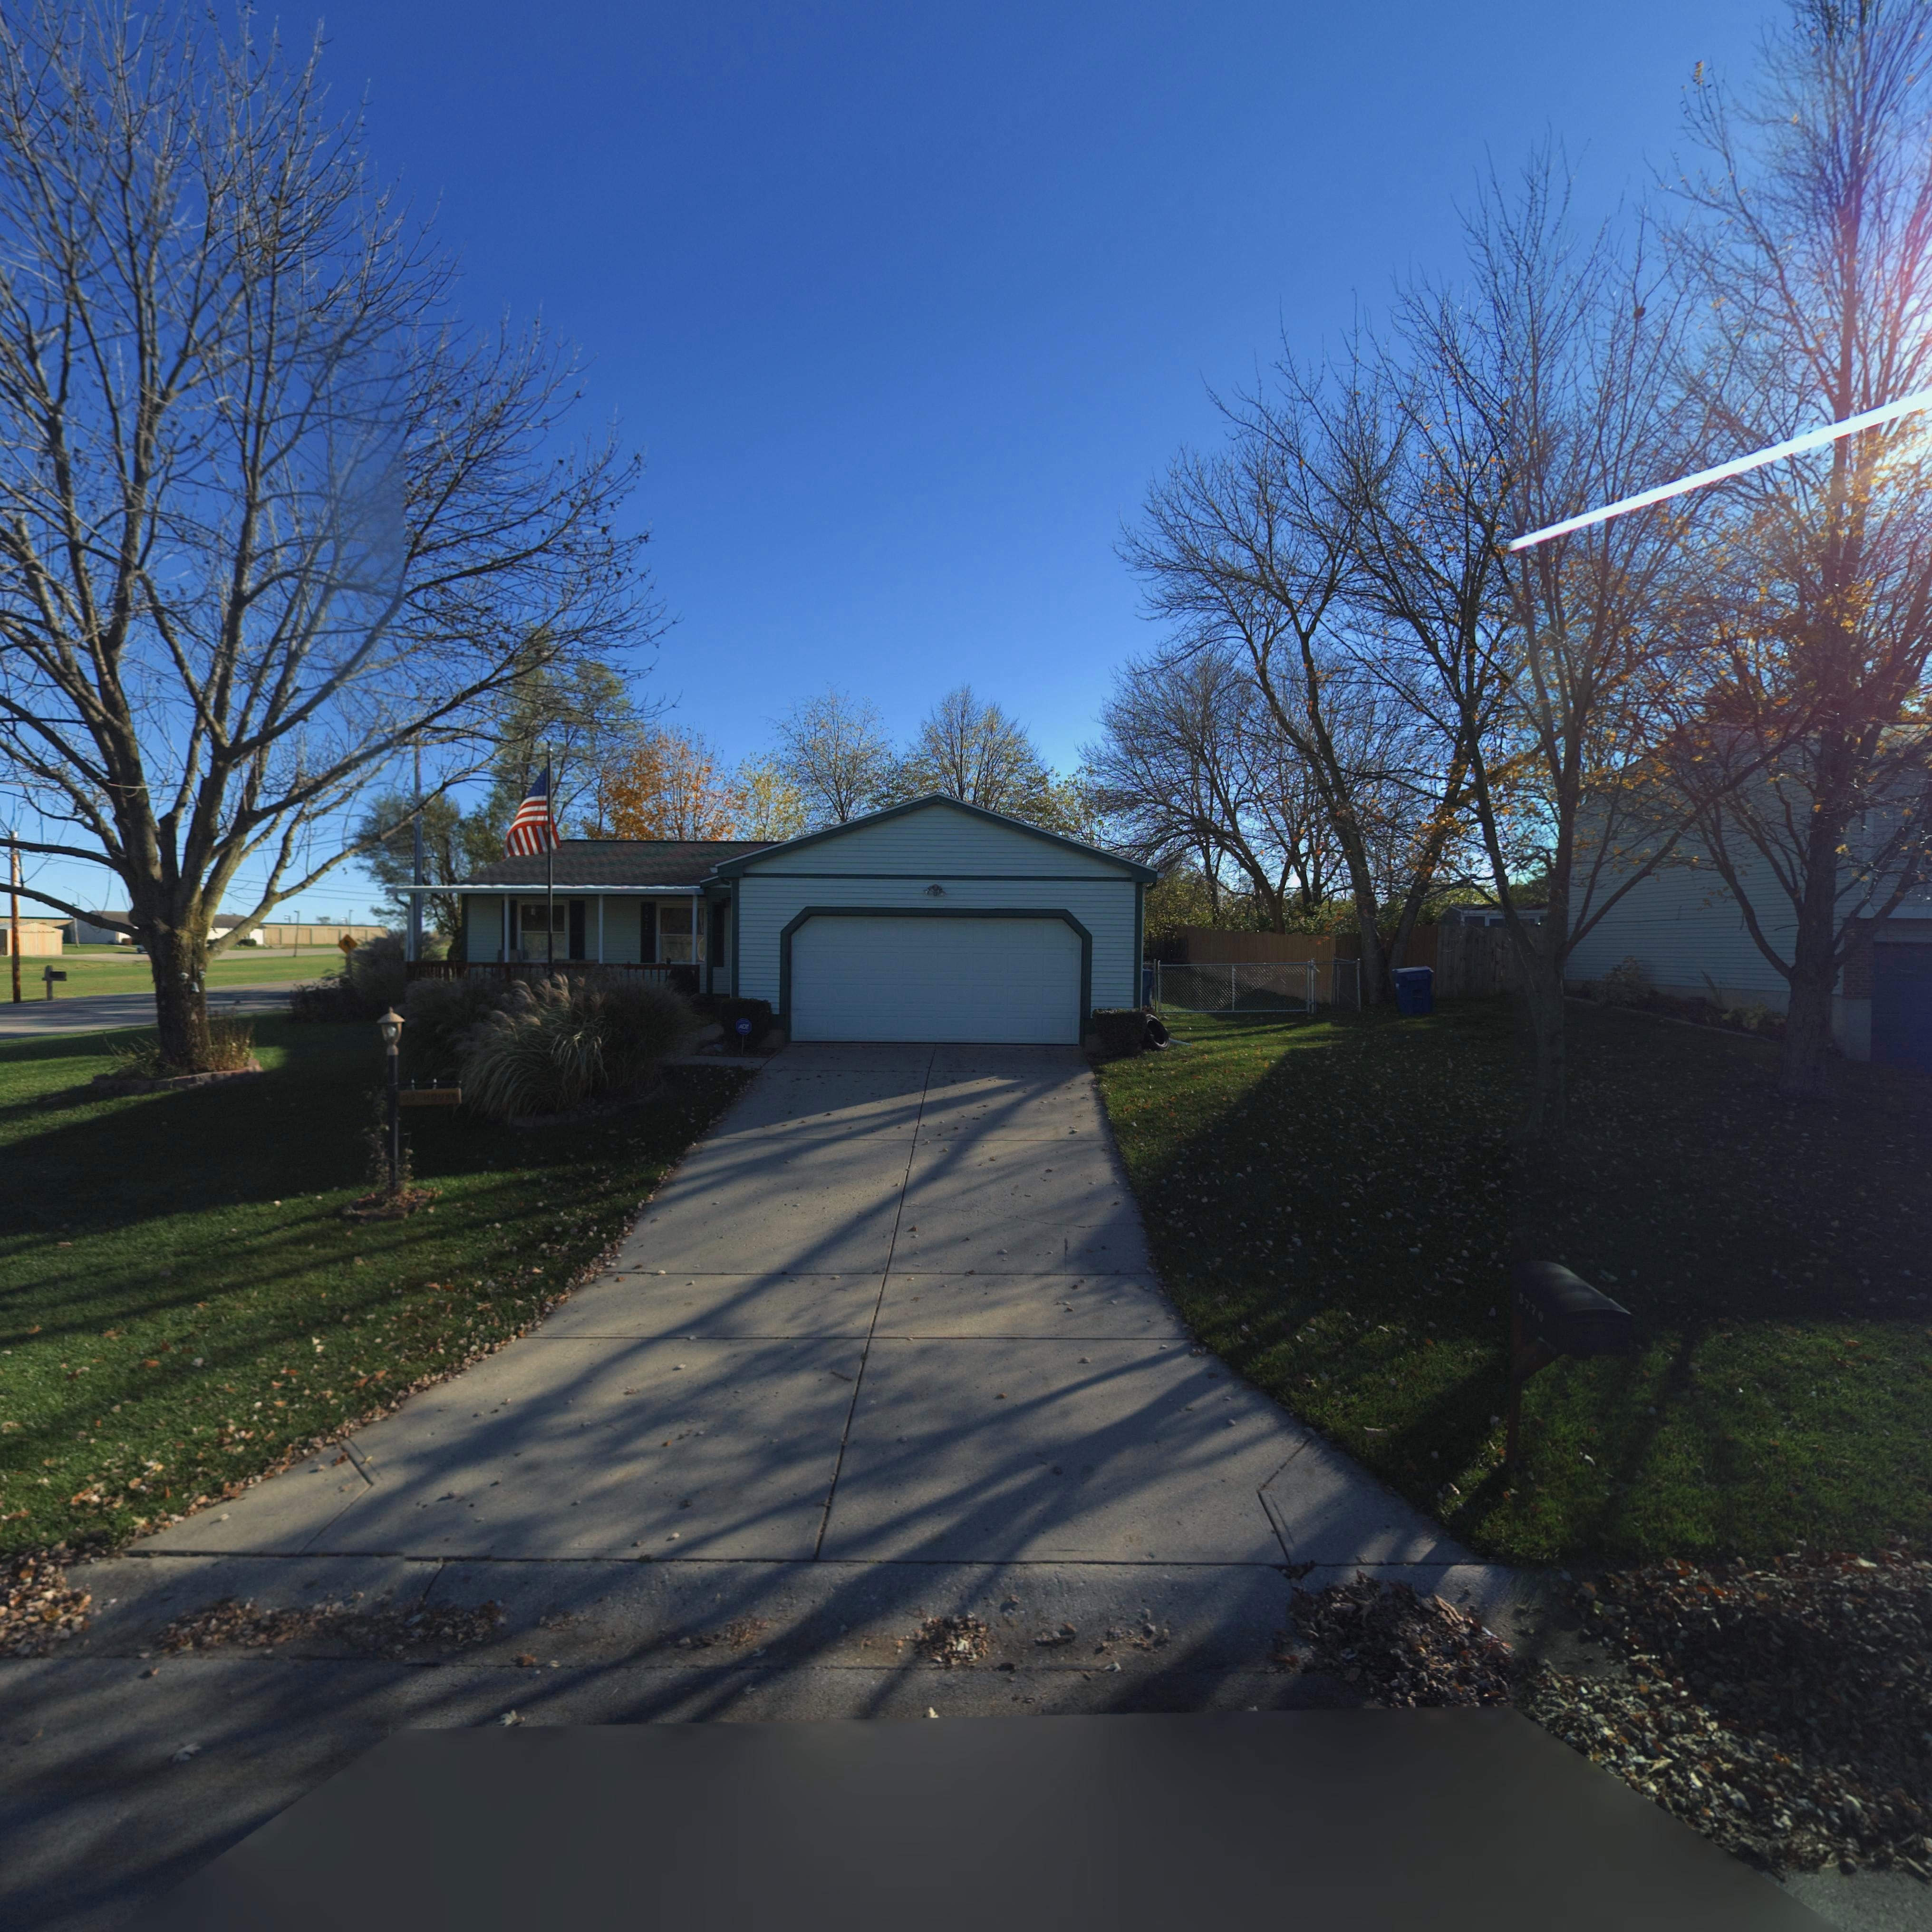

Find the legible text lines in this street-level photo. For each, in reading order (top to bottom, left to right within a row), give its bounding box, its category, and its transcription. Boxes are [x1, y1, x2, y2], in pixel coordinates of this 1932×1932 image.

[1517, 1291, 1545, 1325] StreetNumber: 377*